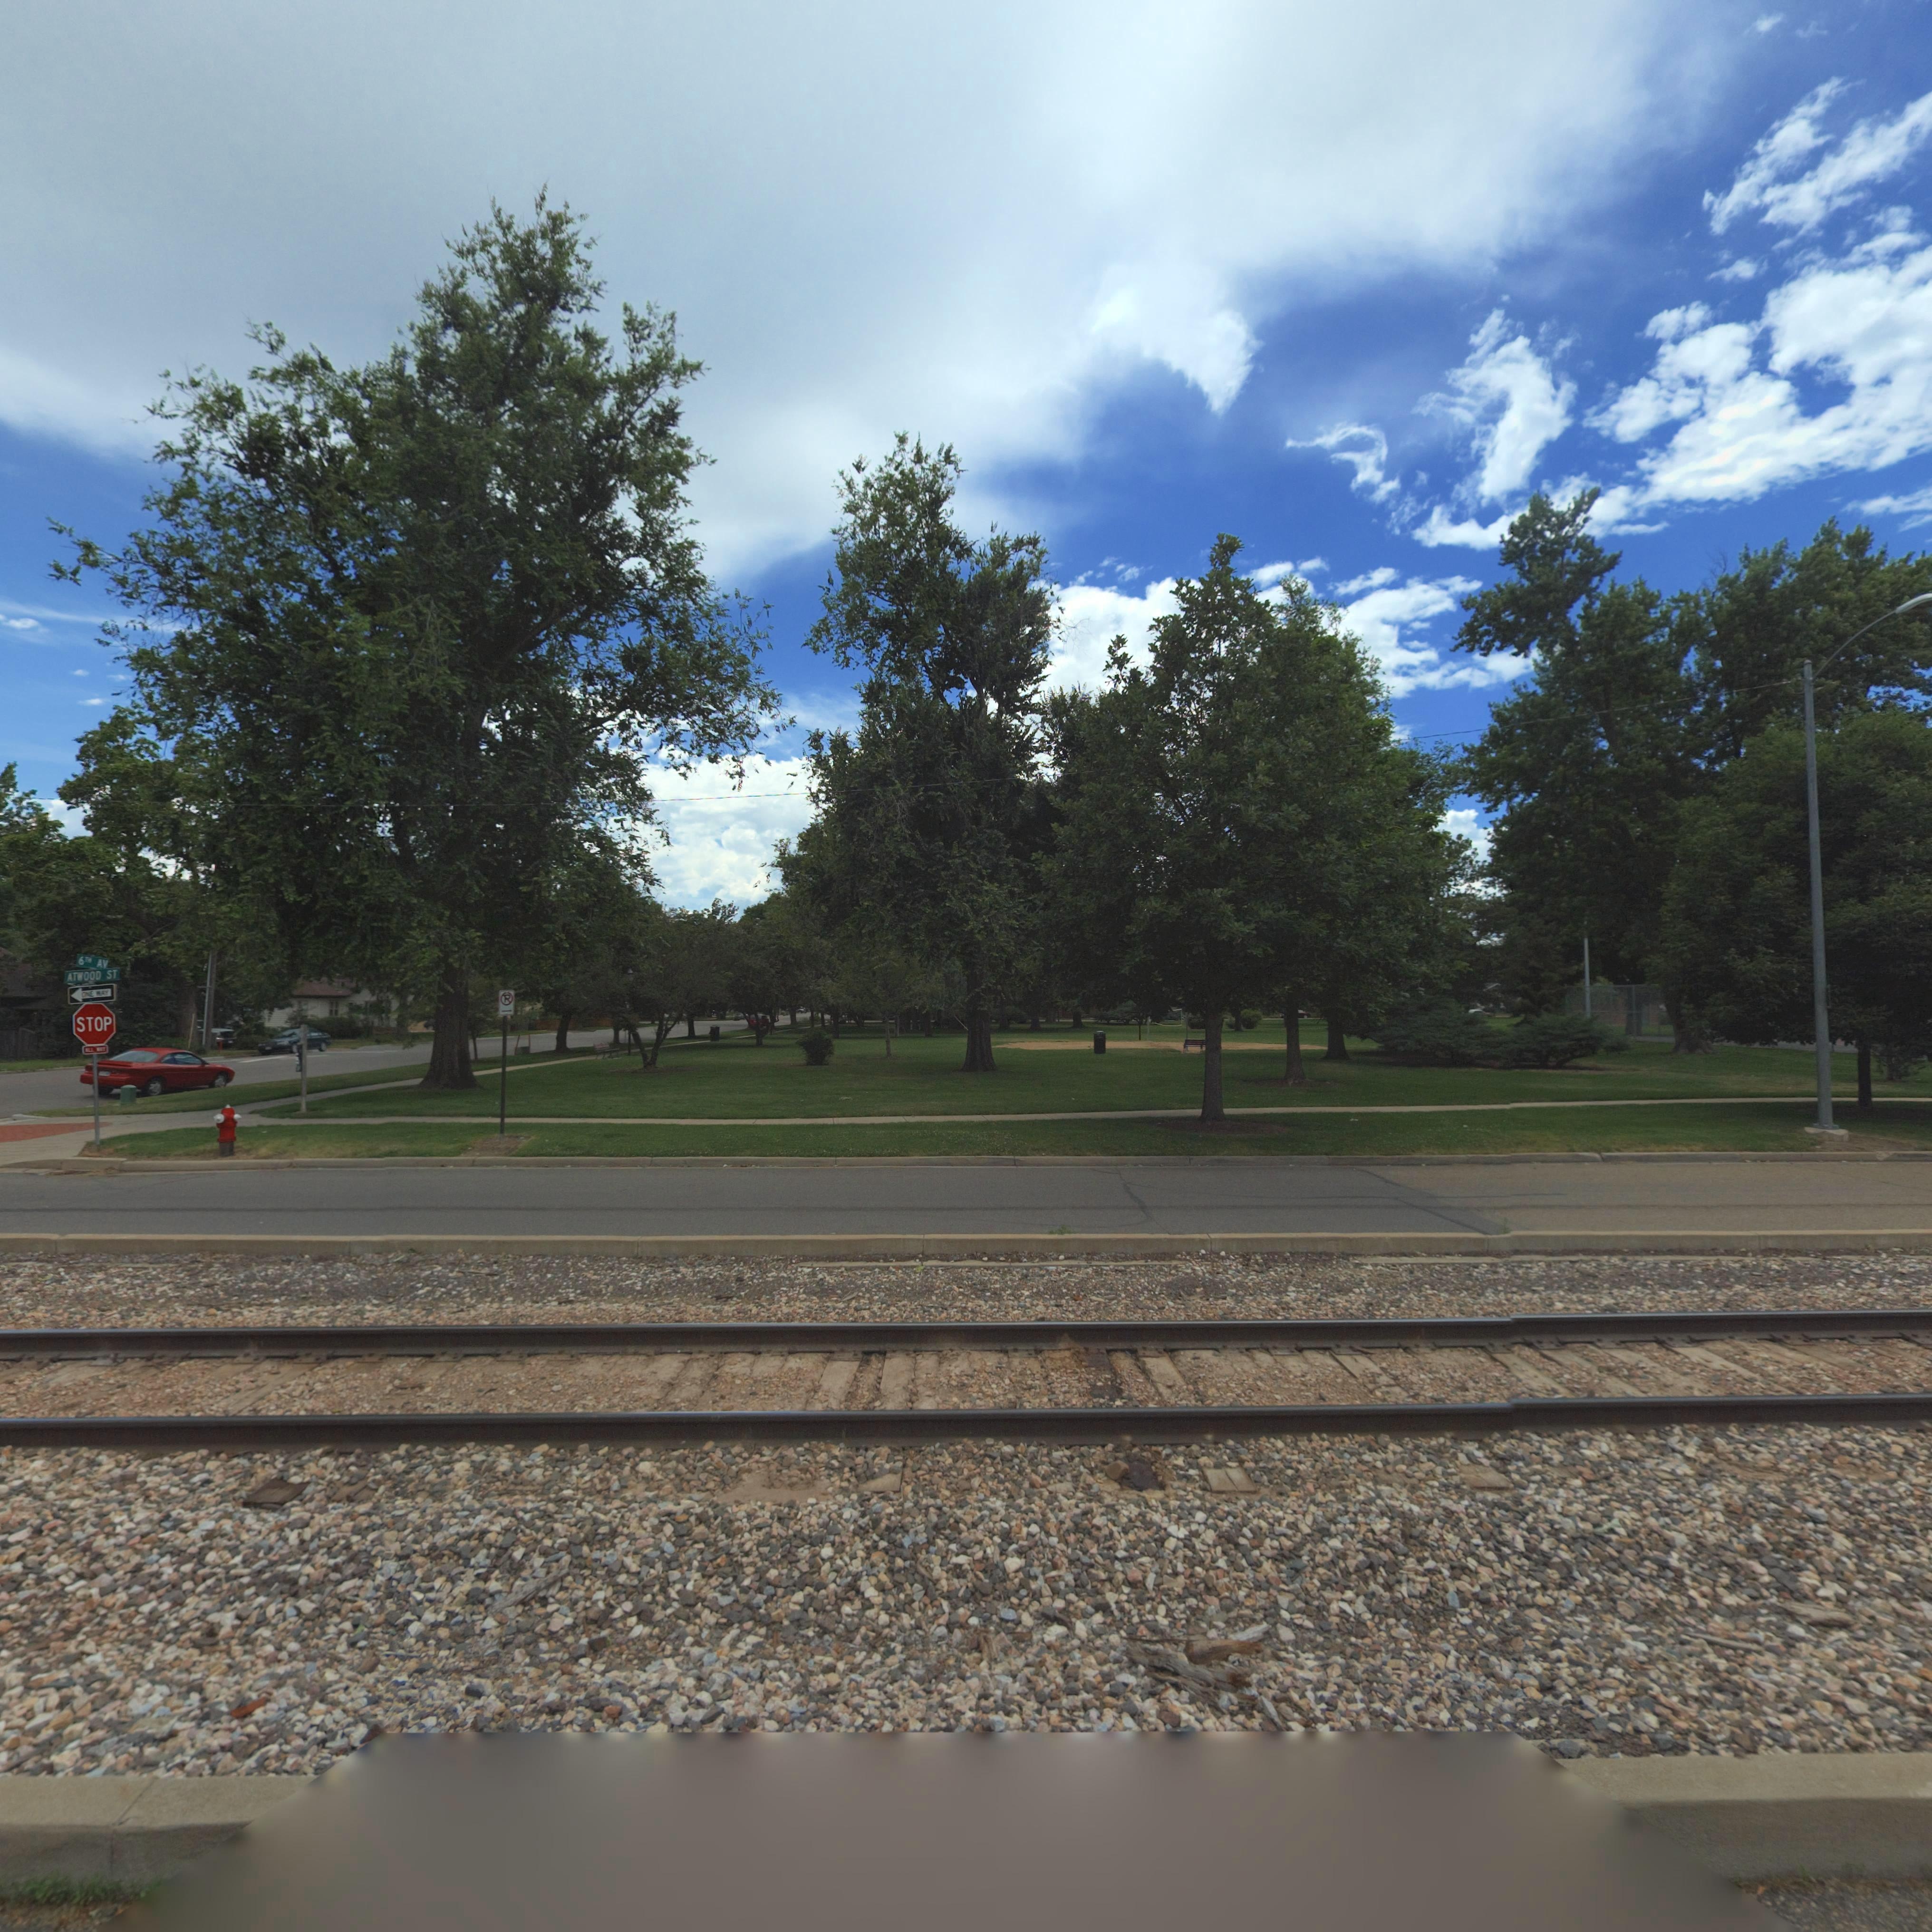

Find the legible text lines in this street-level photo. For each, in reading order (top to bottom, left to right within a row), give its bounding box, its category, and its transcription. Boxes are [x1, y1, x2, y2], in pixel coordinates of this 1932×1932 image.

[77, 956, 109, 969] StreetName: 6TH AV
[67, 969, 118, 982] StreetName: ATWOOD ST